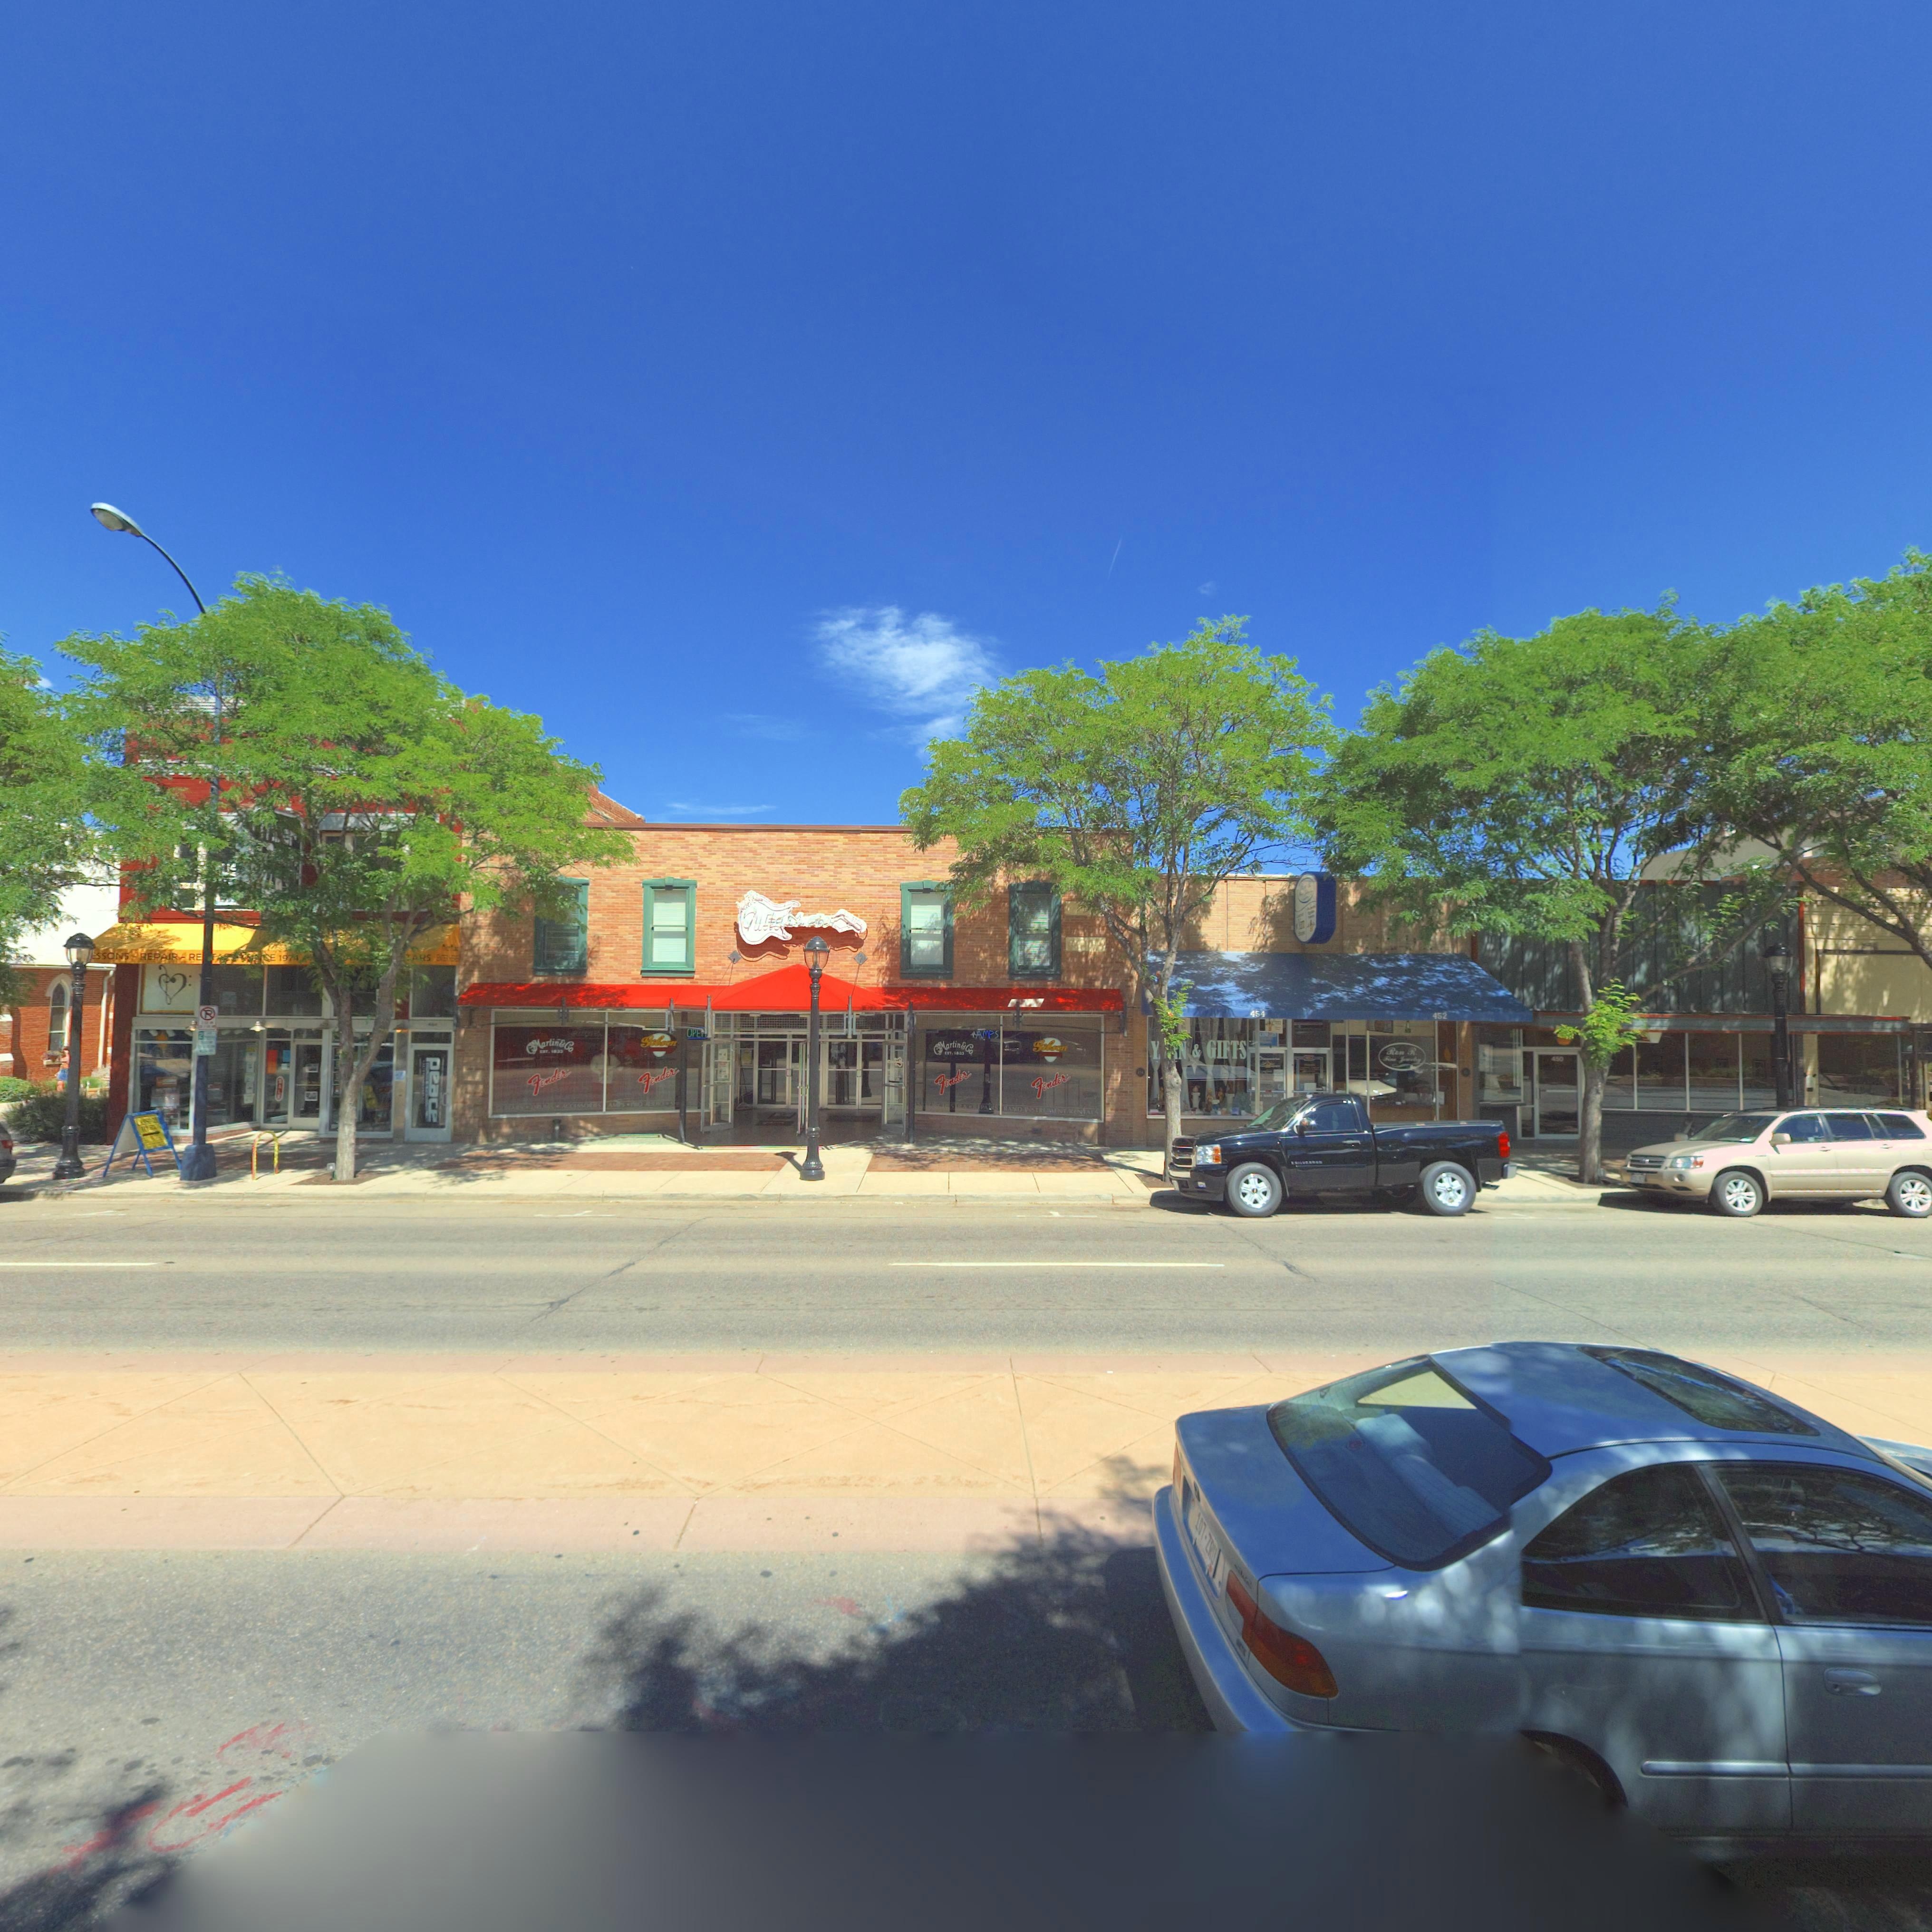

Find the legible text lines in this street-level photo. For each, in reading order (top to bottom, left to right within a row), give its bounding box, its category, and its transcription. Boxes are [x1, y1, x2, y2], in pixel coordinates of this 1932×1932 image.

[1250, 1010, 1265, 1017] StreetNumber: 454
[1432, 1012, 1448, 1019] StreetNumber: 452
[1386, 1047, 1417, 1055] BusinessName: Ron R
[1383, 1055, 1421, 1064] BusinessName: F*** J*****y
[1551, 1055, 1564, 1062] StreetNumber: 450